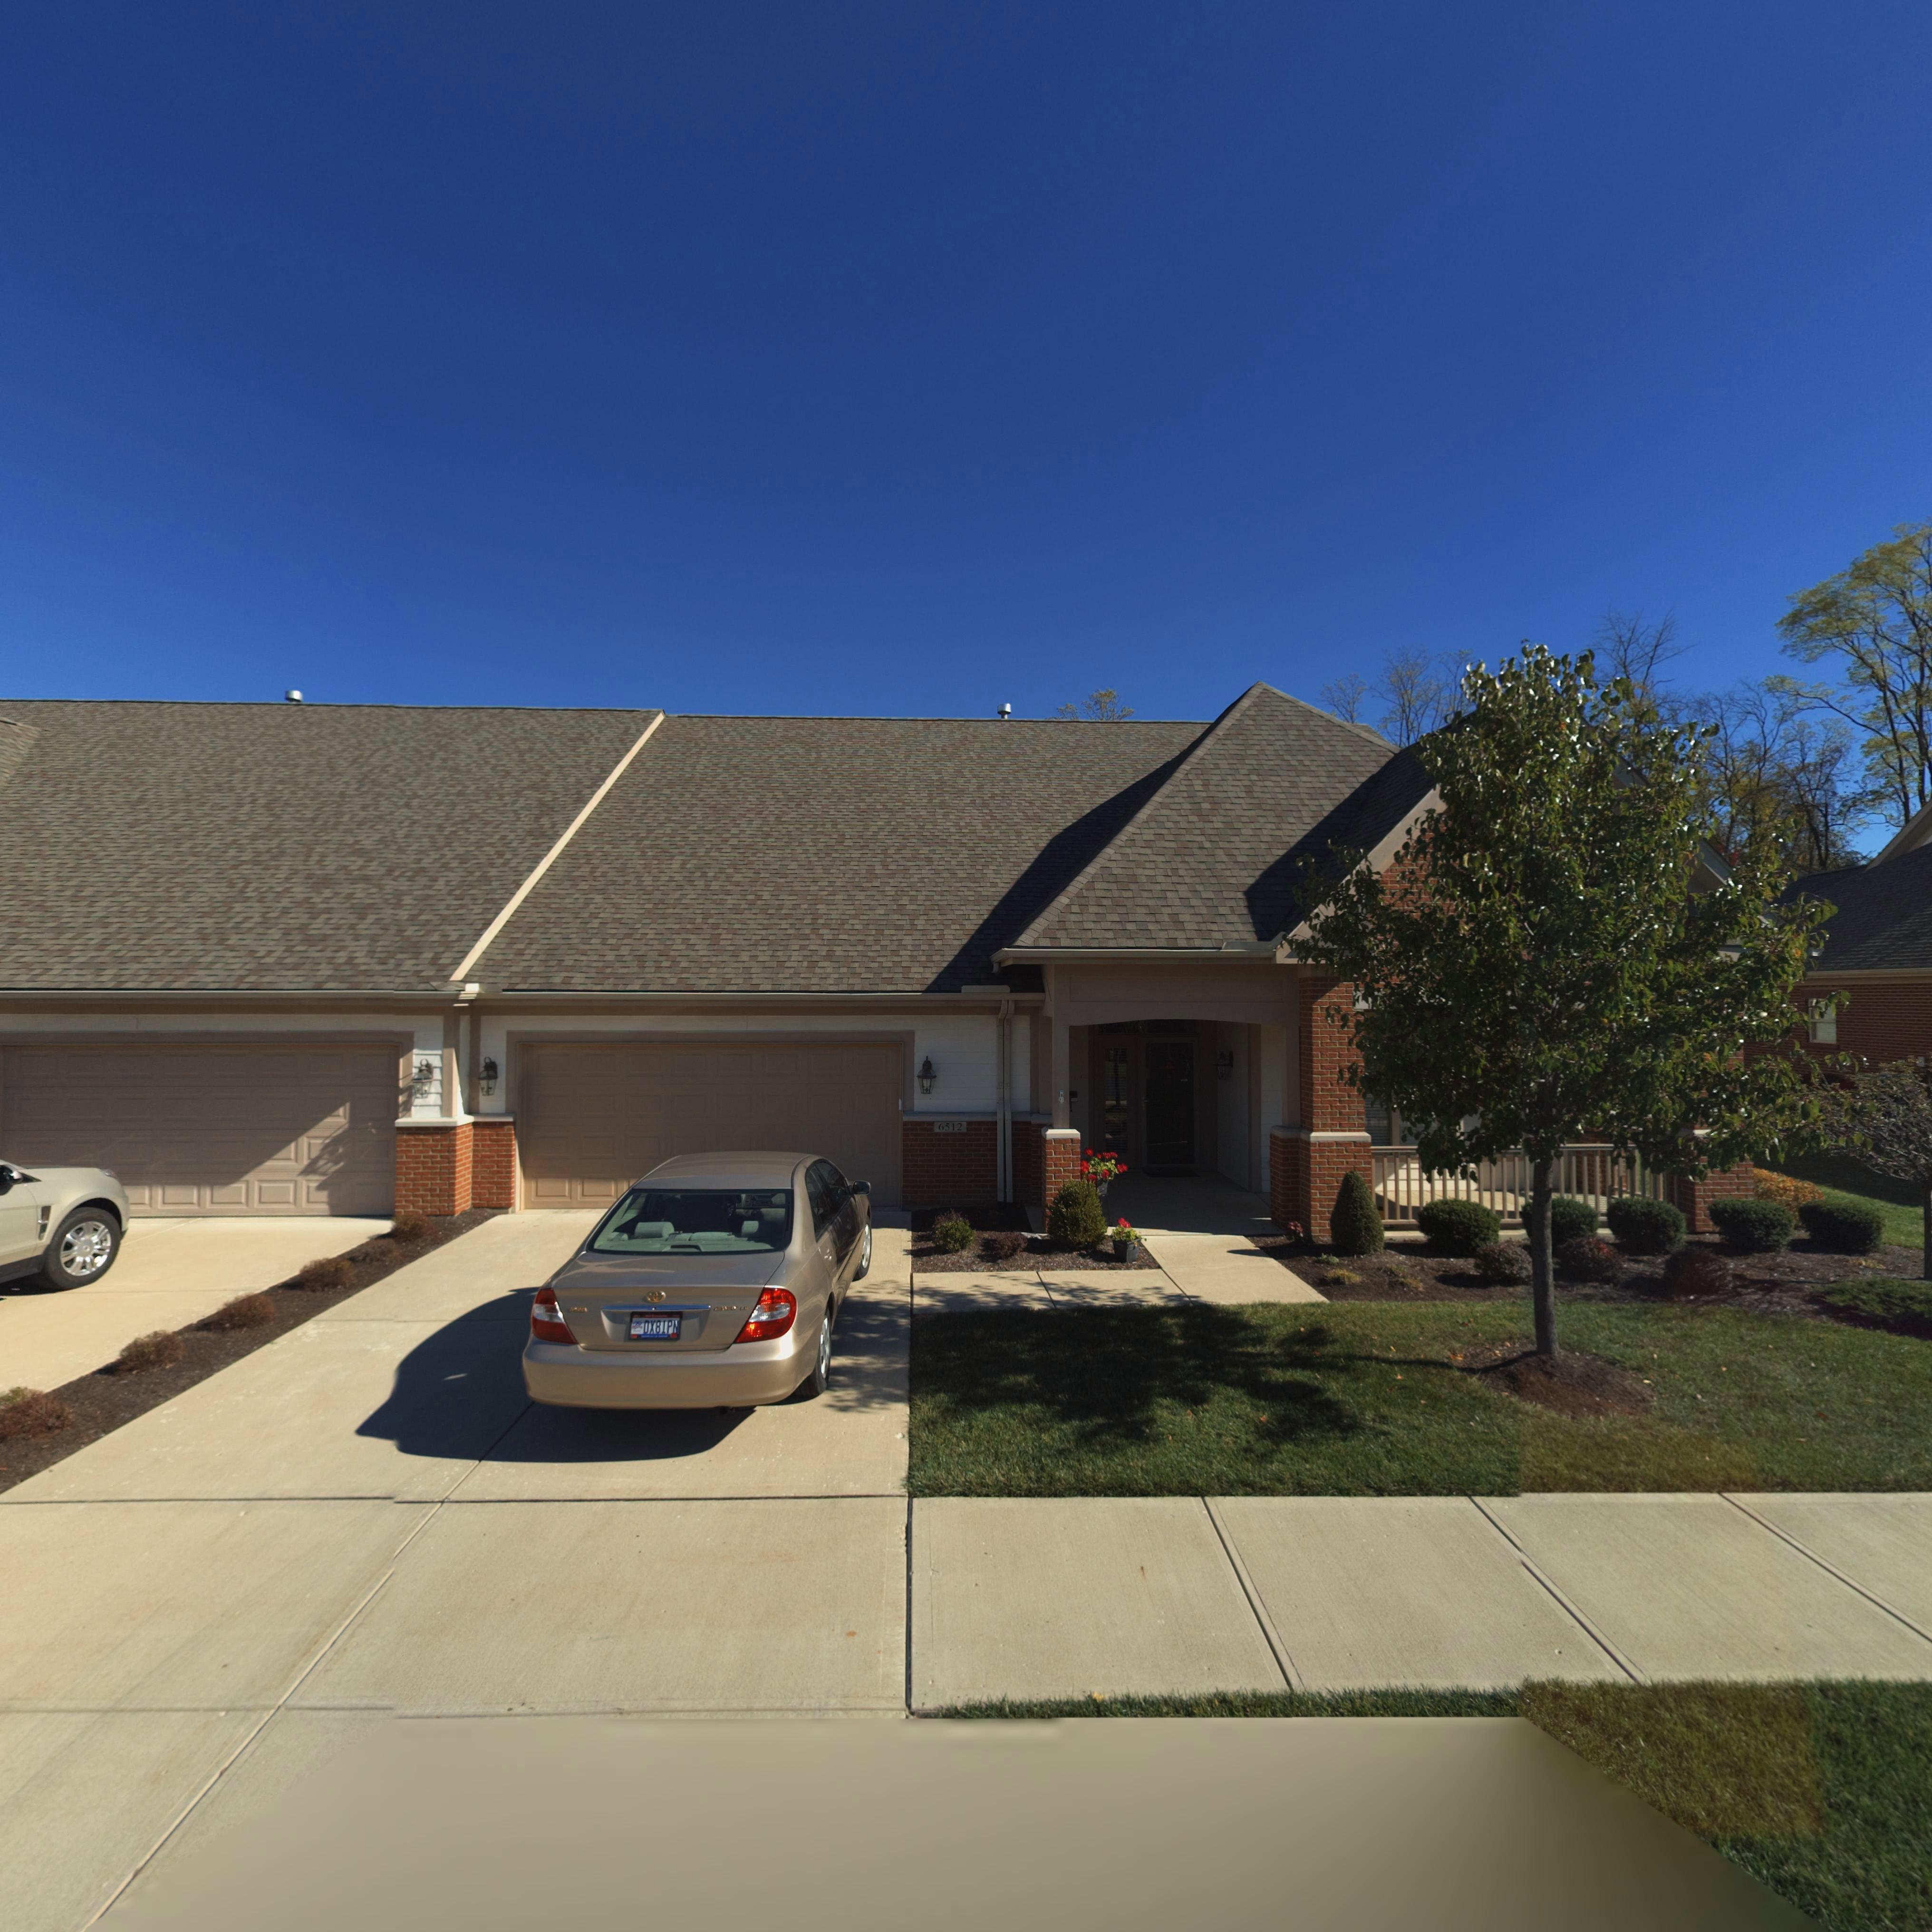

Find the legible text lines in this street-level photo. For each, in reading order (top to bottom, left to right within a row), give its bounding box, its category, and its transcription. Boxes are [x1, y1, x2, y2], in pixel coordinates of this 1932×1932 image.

[937, 1122, 963, 1132] StreetNumber: 6512
[642, 1319, 680, 1335] None: OX81PN